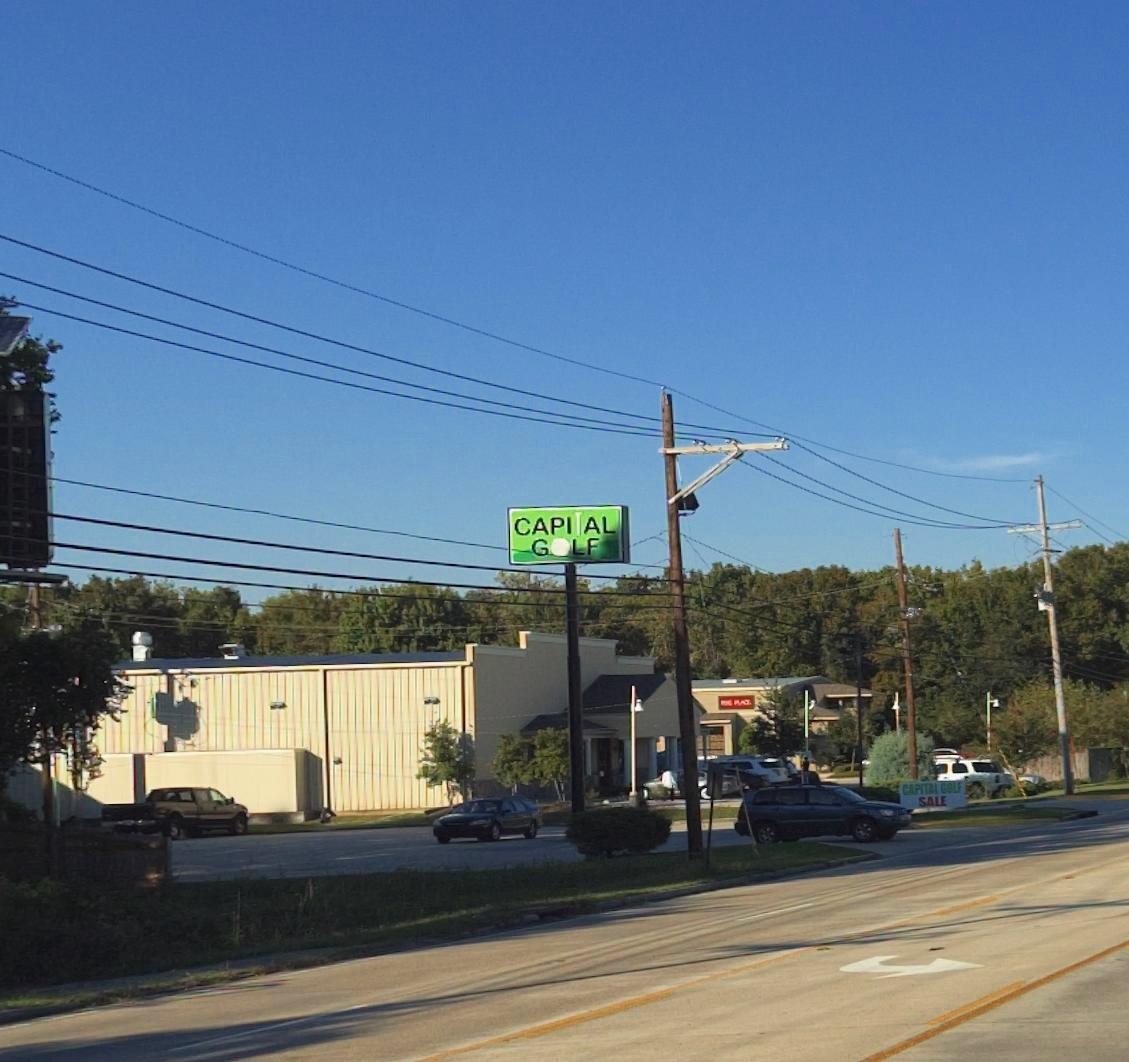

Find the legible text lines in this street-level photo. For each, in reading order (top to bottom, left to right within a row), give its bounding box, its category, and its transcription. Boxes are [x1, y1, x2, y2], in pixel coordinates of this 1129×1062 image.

[513, 510, 617, 537] BusinessName: CAPITAL
[530, 537, 600, 557] BusinessName: GOLF
[901, 781, 963, 796] BusinessName: CAPITAL GOLF
[918, 796, 948, 808] None: SALE